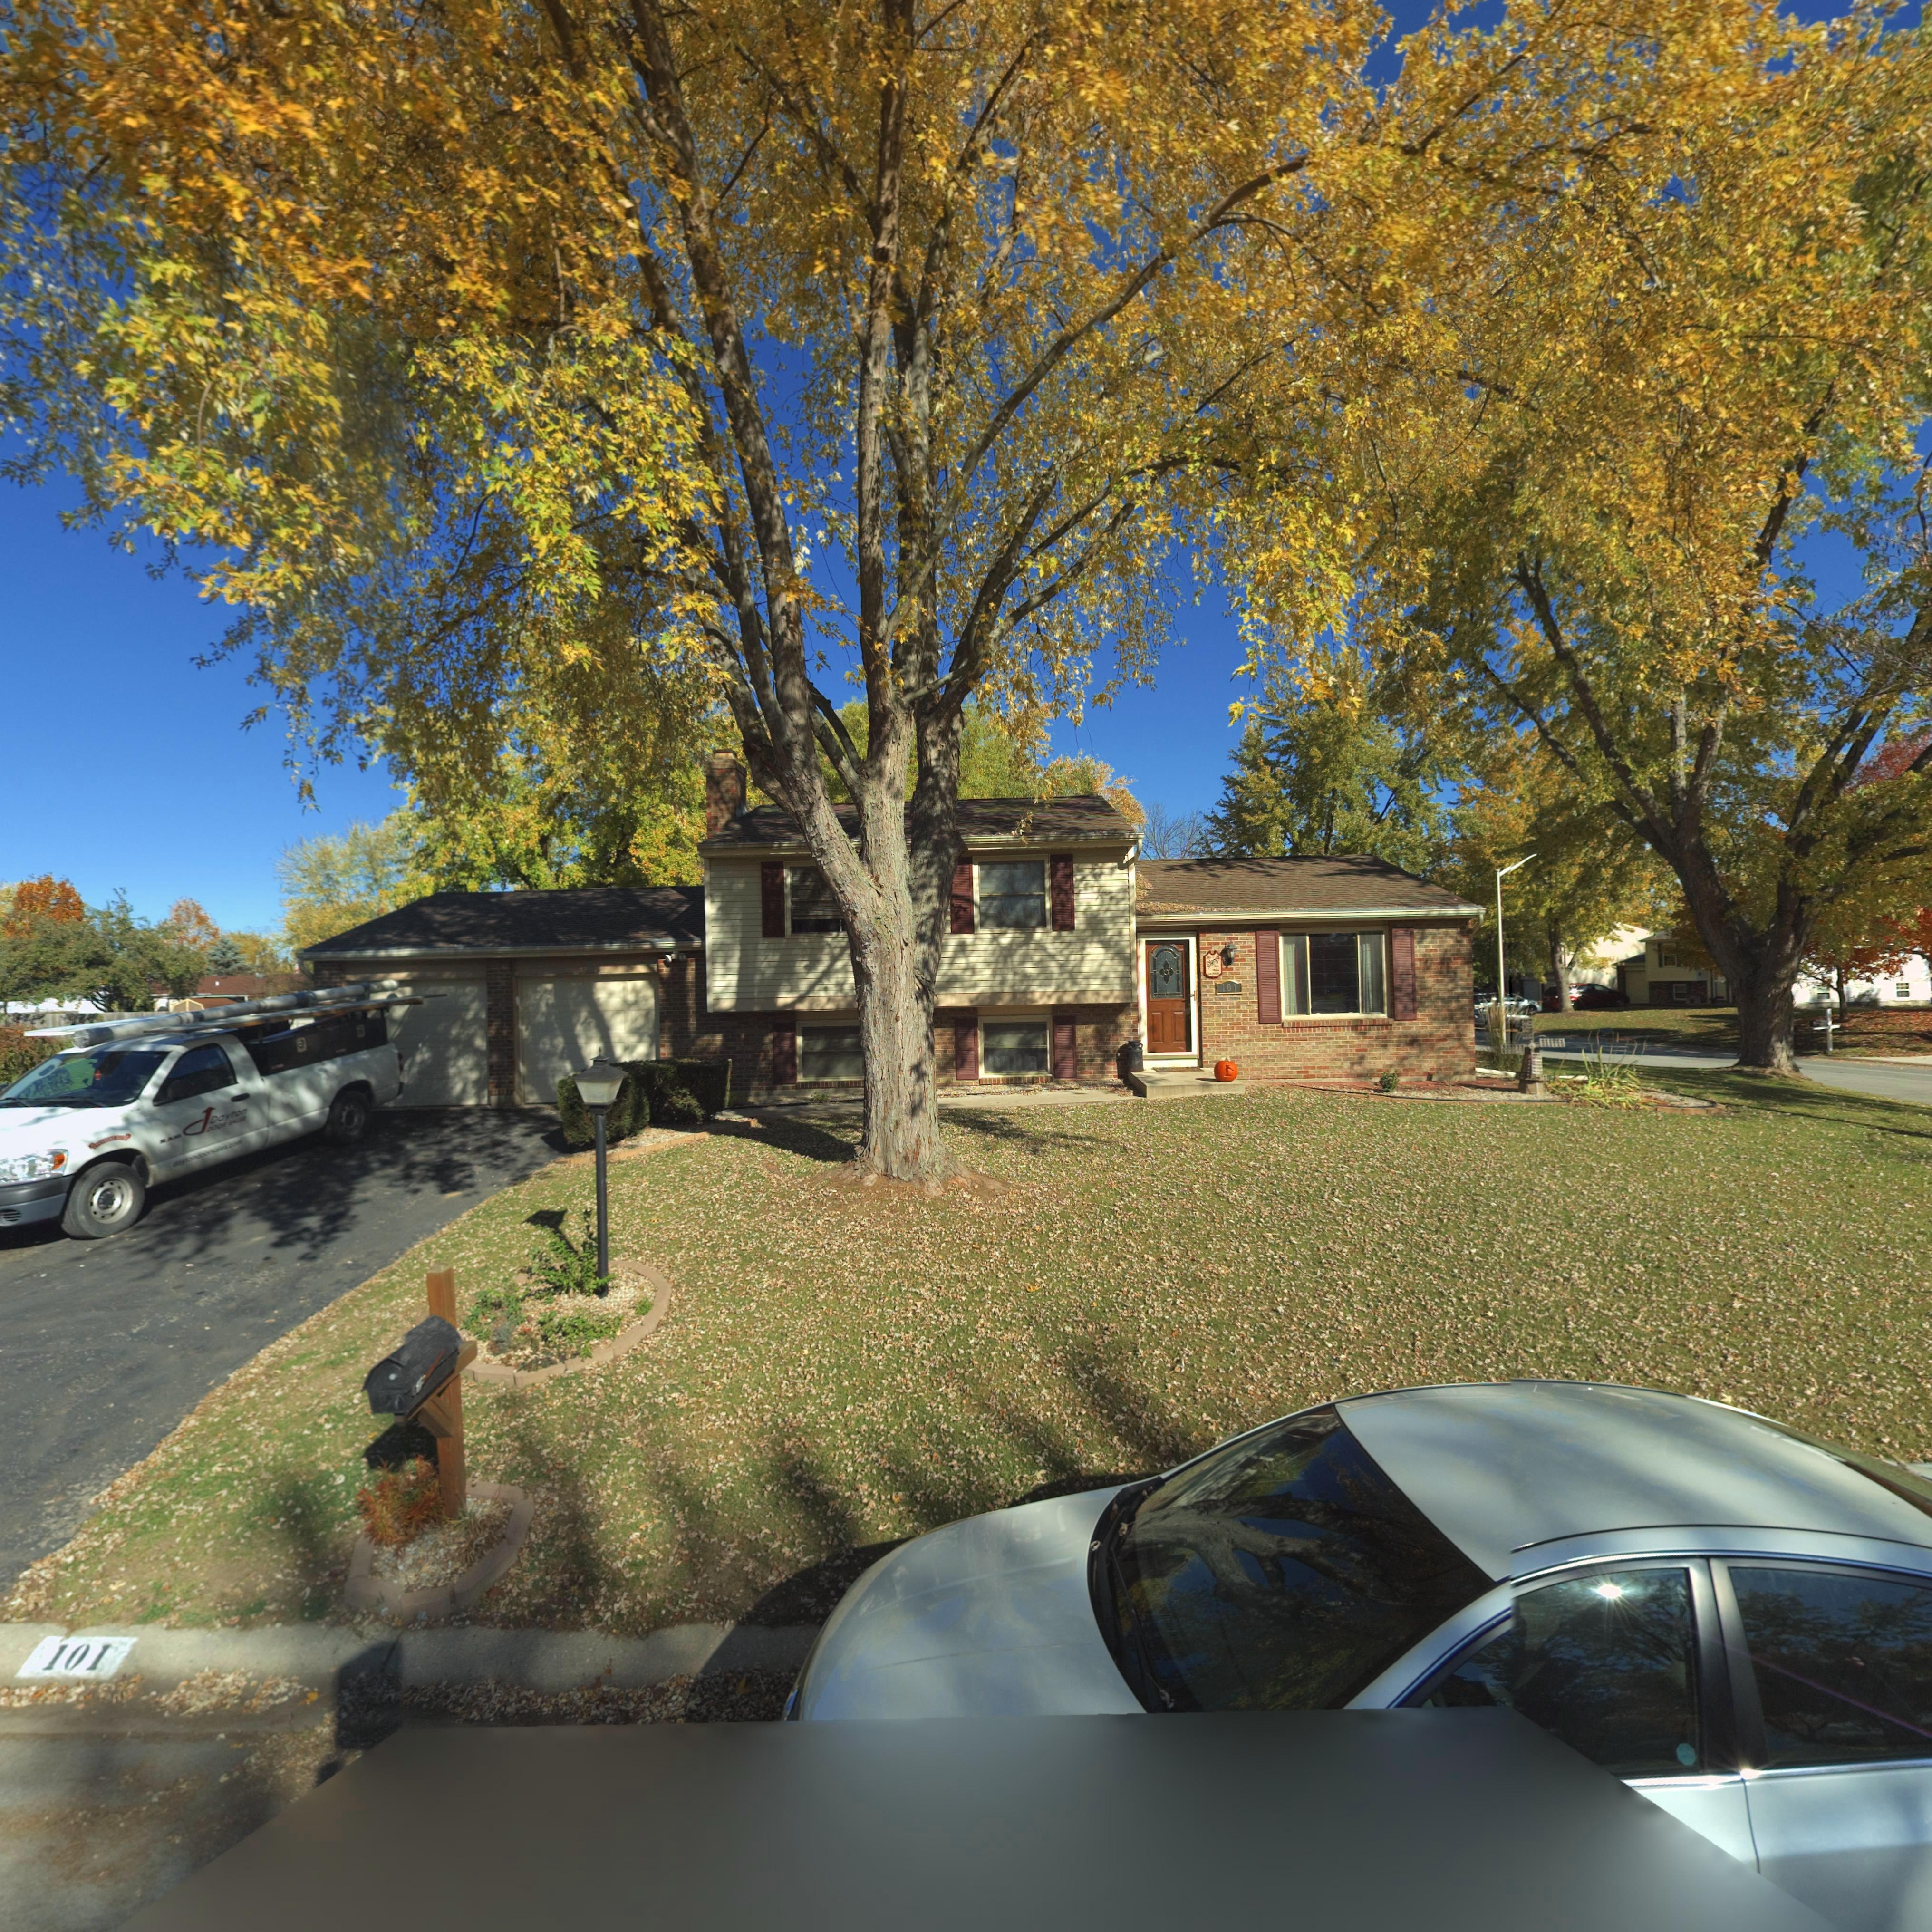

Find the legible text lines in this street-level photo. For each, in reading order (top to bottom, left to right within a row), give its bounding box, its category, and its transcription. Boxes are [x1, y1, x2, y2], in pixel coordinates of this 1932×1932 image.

[1221, 982, 1238, 993] StreetNumber: 101
[38, 1641, 118, 1674] StreetNumber: 101